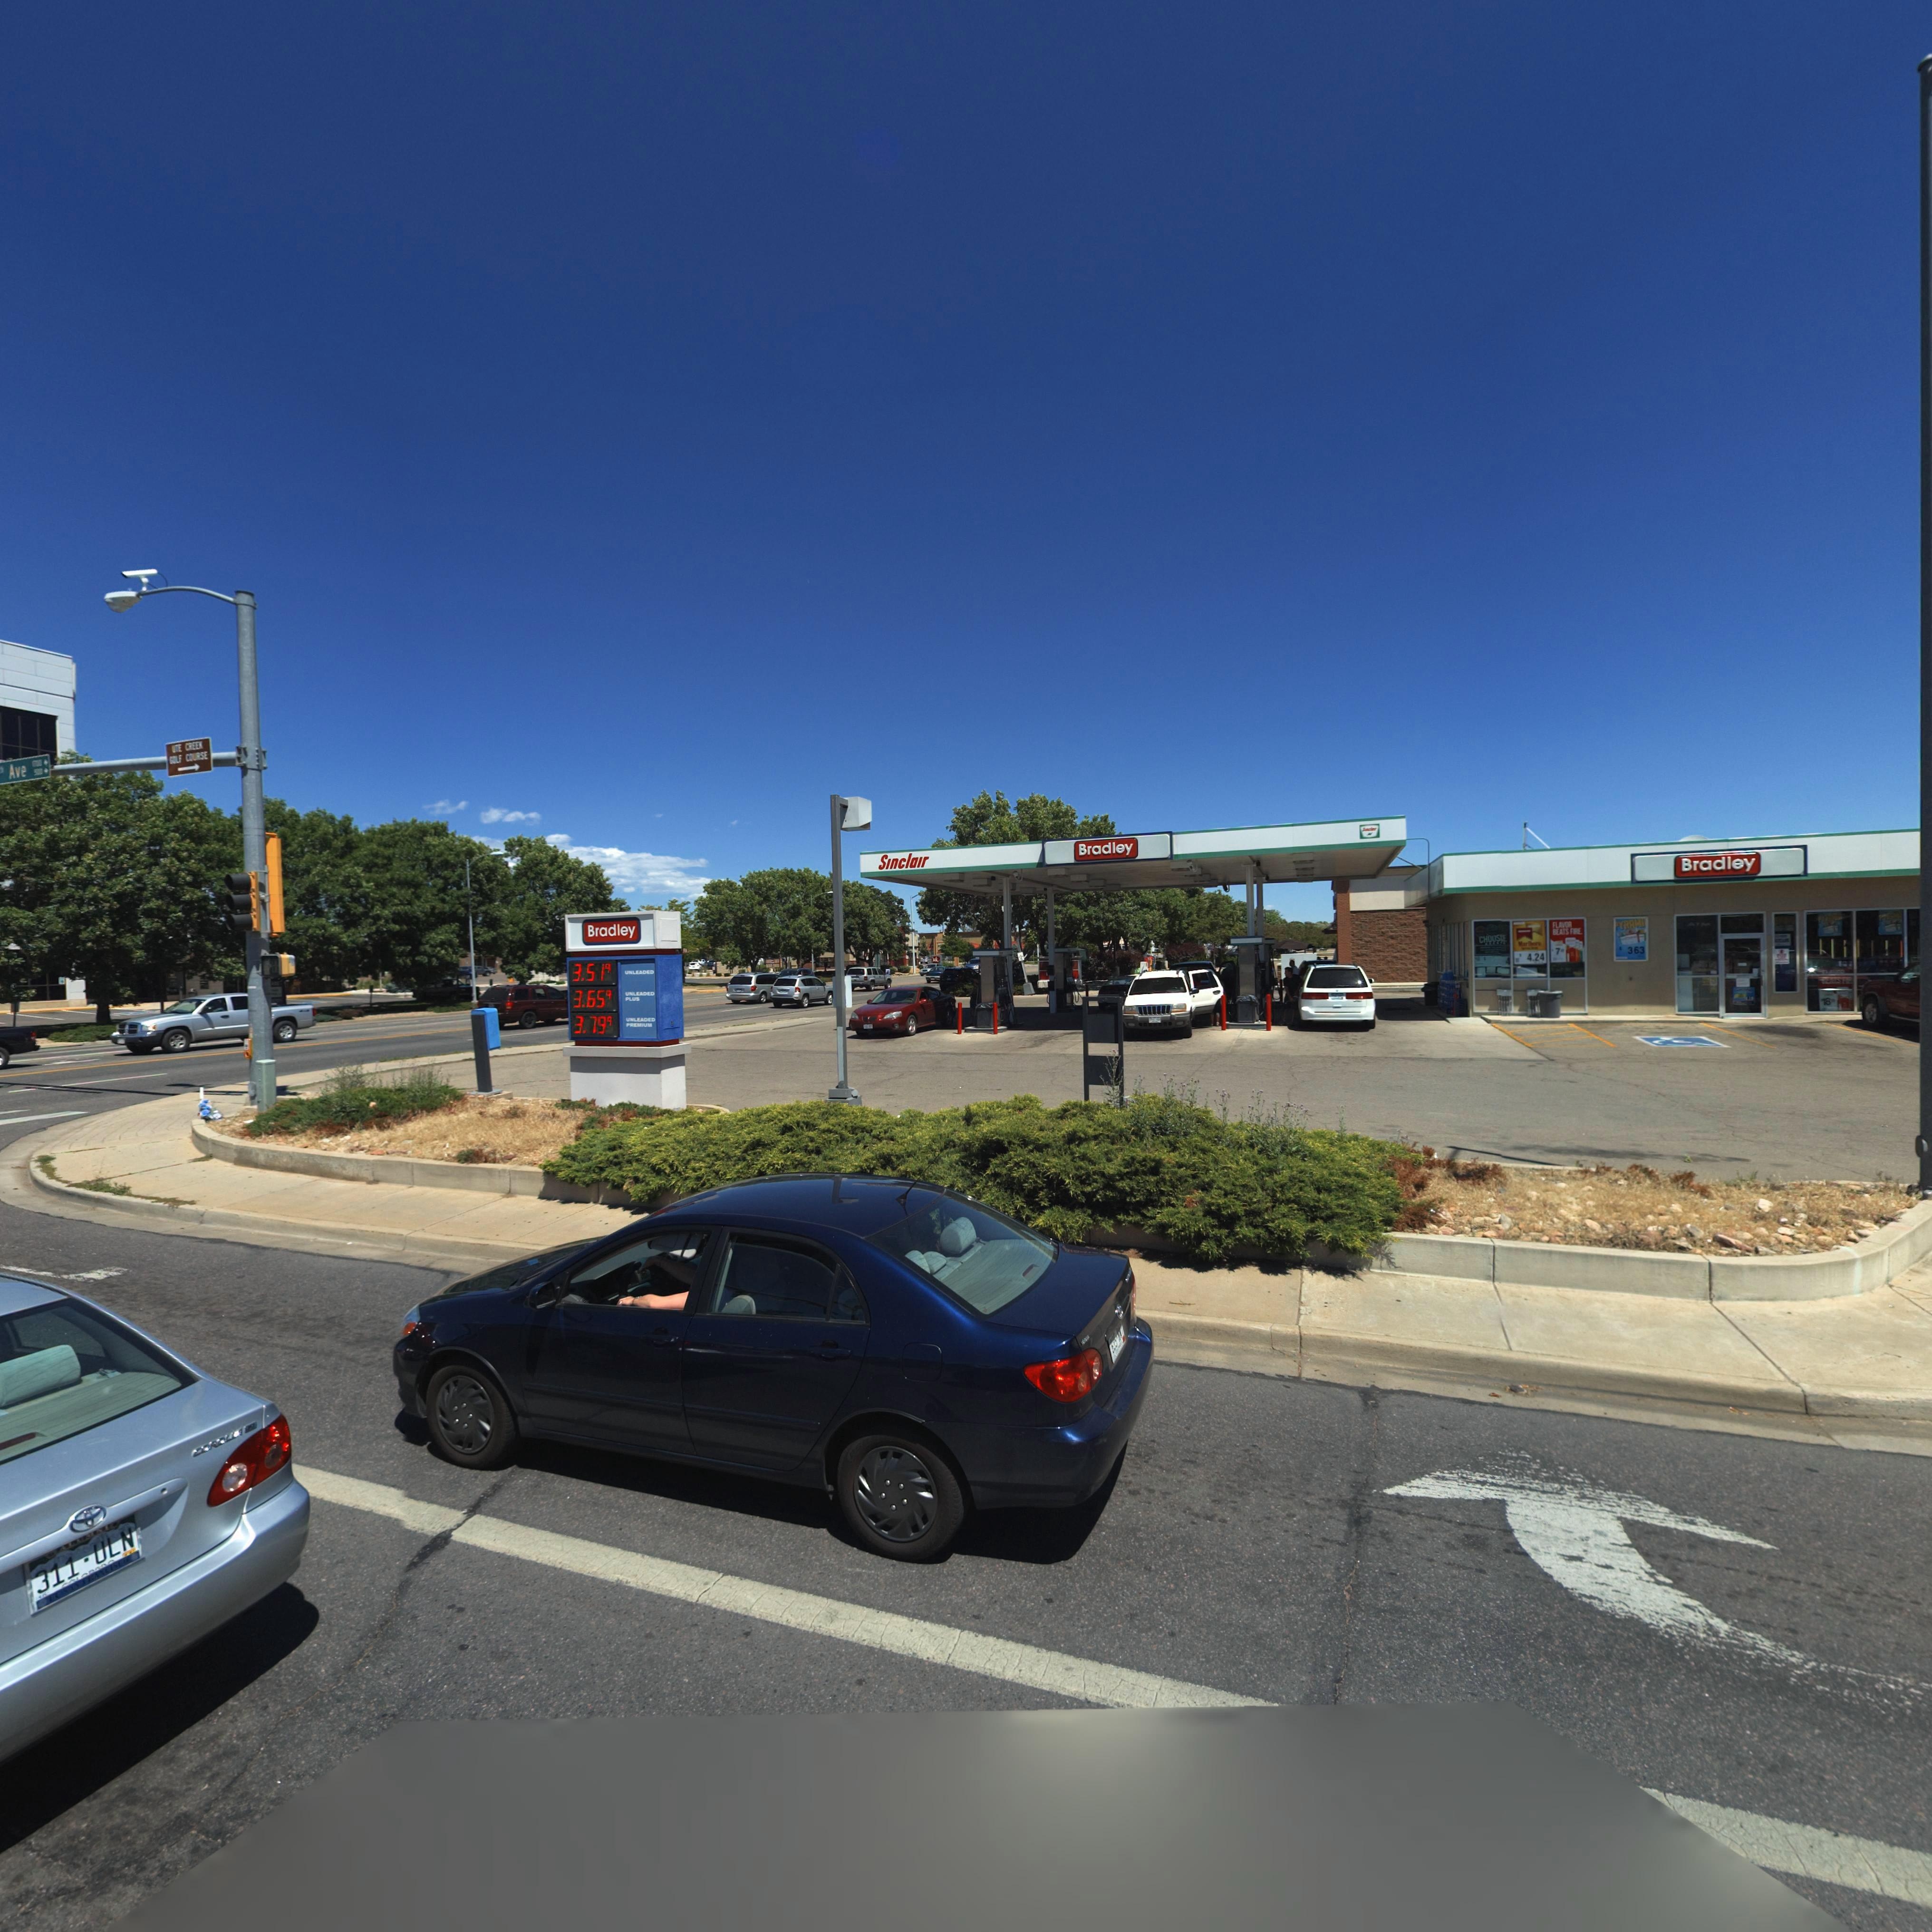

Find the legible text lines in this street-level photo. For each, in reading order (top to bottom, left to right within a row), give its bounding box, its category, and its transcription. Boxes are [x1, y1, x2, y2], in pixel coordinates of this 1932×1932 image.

[30, 758, 43, 768] StreetNumberRange: 1***
[8, 763, 27, 780] StreetName: Ave
[33, 766, 49, 777] StreetNumberRange: 500->
[1361, 826, 1378, 831] BusinessName: S**cl***
[1078, 841, 1134, 857] BusinessName: Bradley
[878, 852, 930, 870] BusinessName: Sinclair
[1681, 855, 1757, 872] BusinessName: Bradley
[587, 923, 636, 938] BusinessName: Bradley
[932, 956, 940, 962] BusinessName: Jack